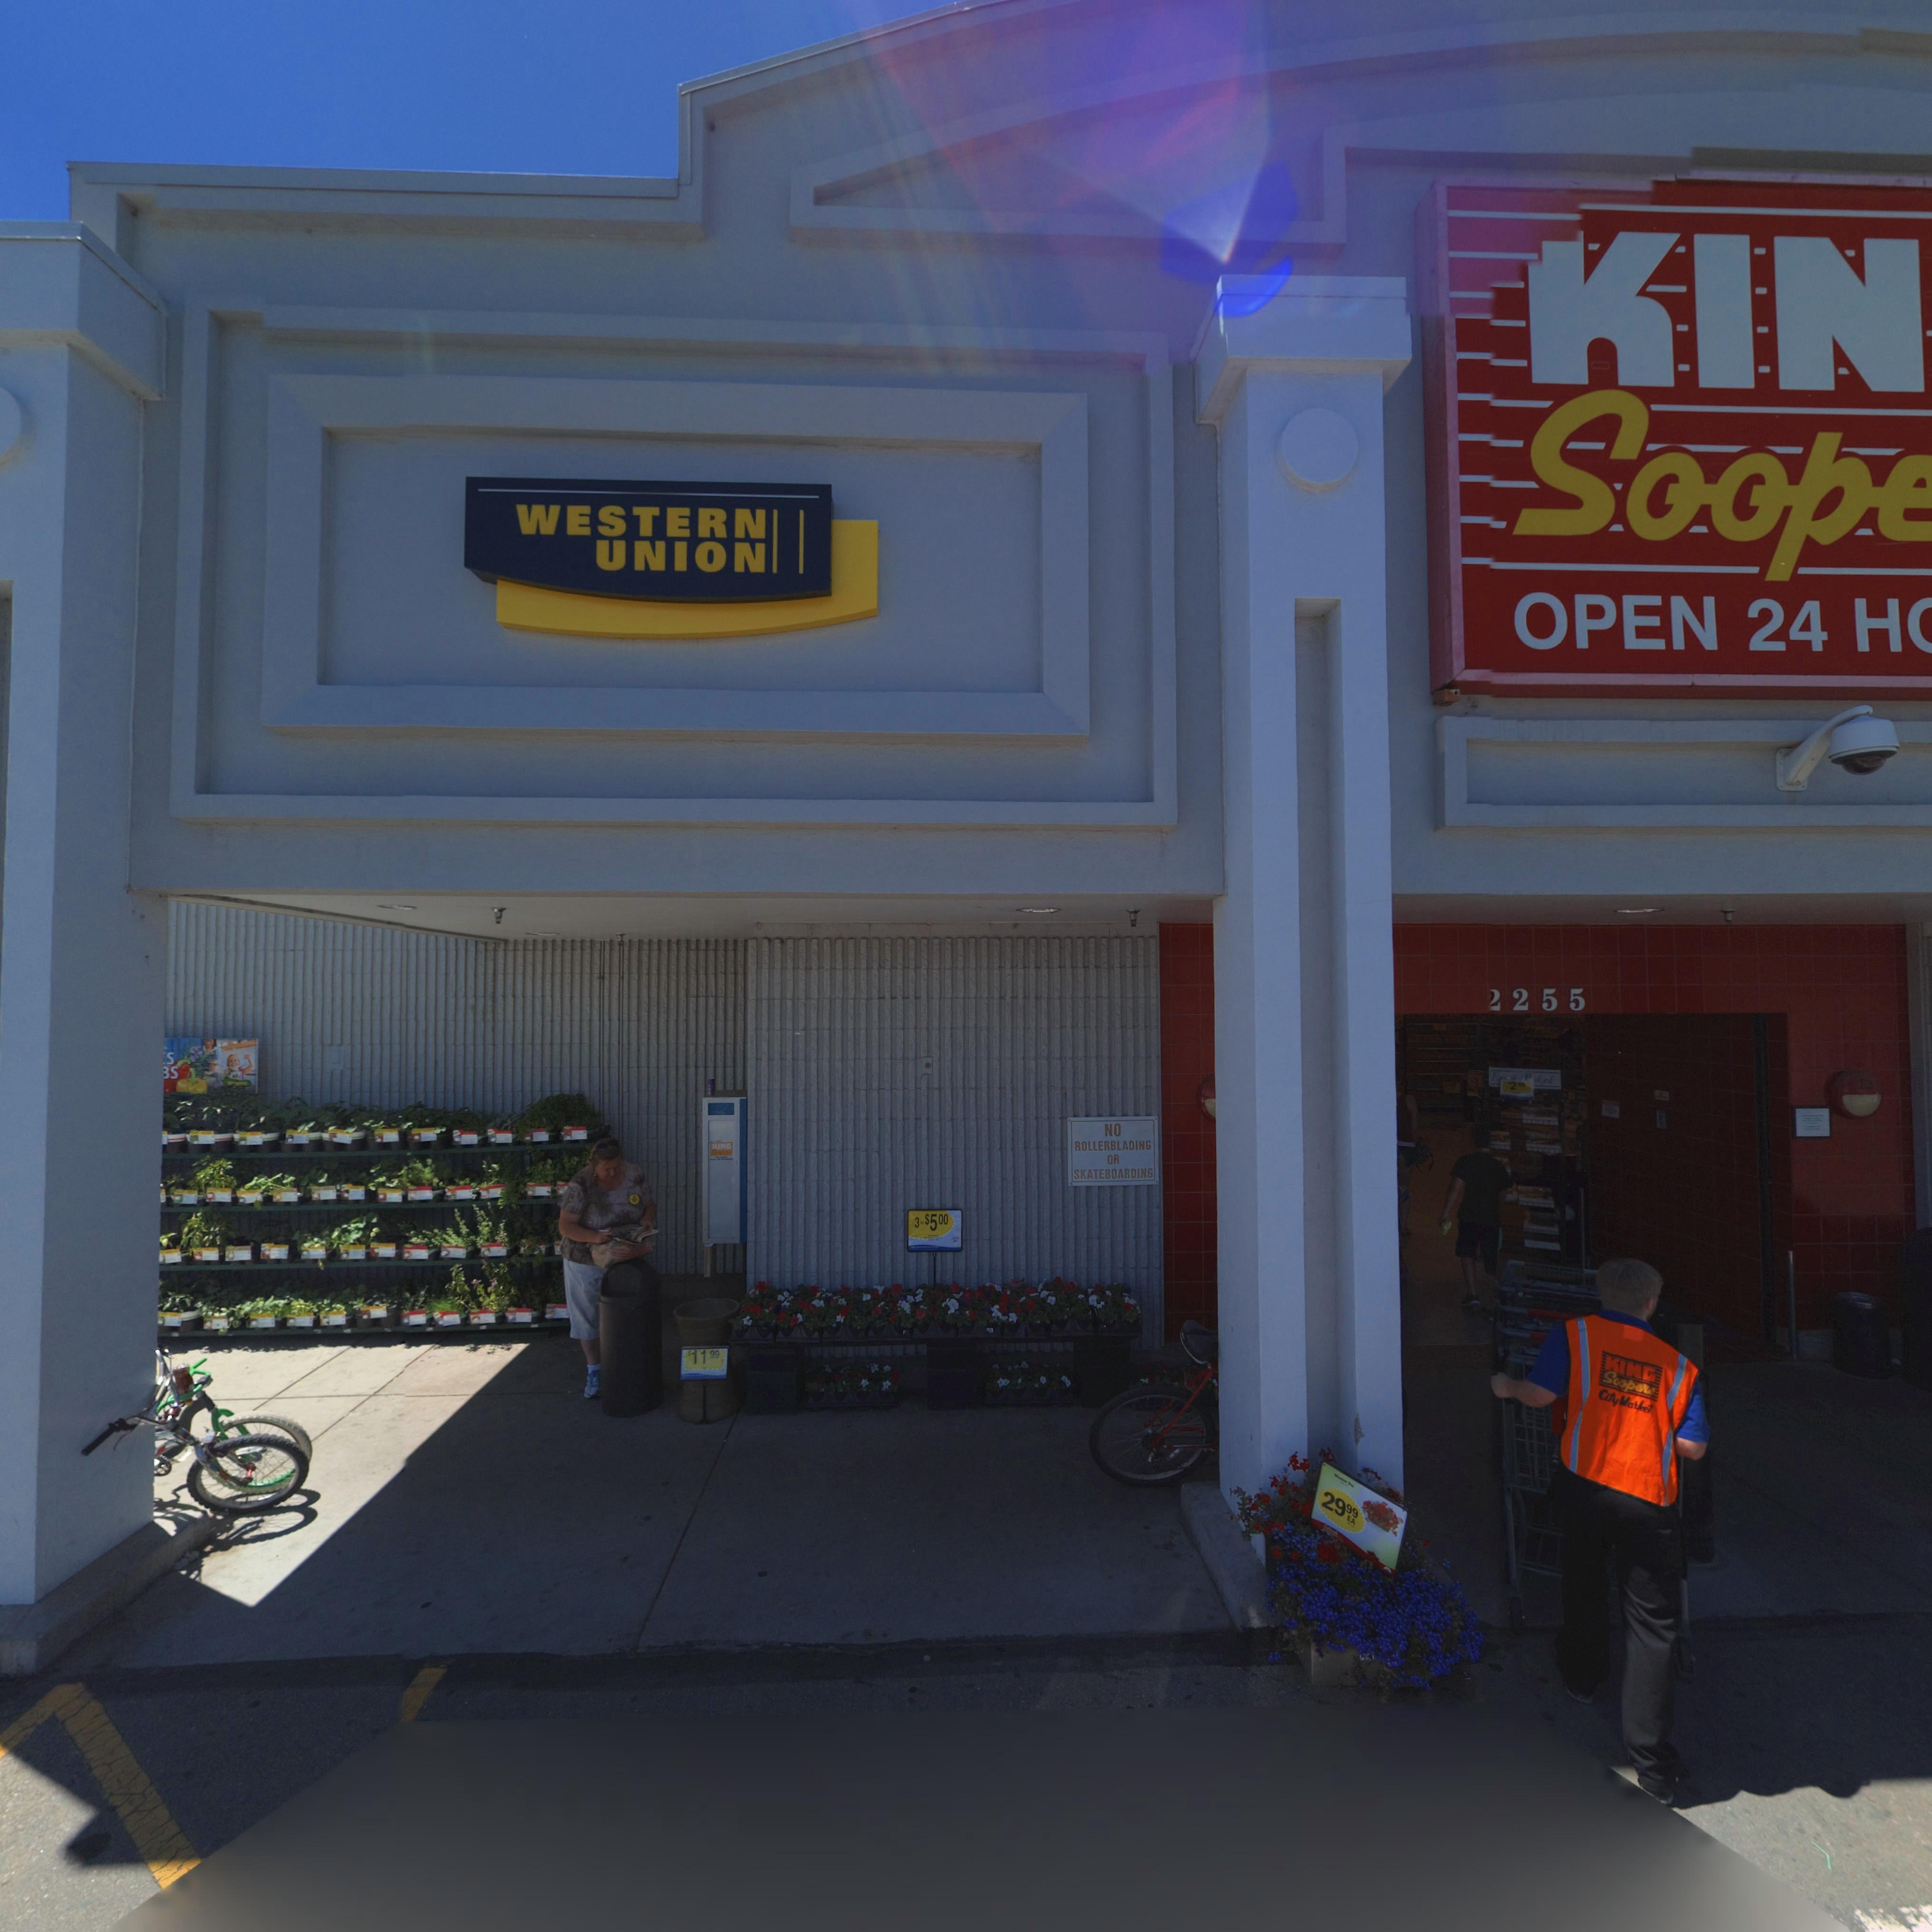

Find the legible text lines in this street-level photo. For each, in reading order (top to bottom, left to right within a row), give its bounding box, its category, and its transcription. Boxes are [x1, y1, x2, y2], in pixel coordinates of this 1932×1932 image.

[1526, 228, 1926, 394] BusinessName: KIN
[1510, 388, 1873, 582] BusinessName: Soop
[514, 503, 766, 539] BusinessName: WESTERN
[595, 539, 765, 572] BusinessName: UNION
[1488, 987, 1585, 1012] StreetNumber: *255